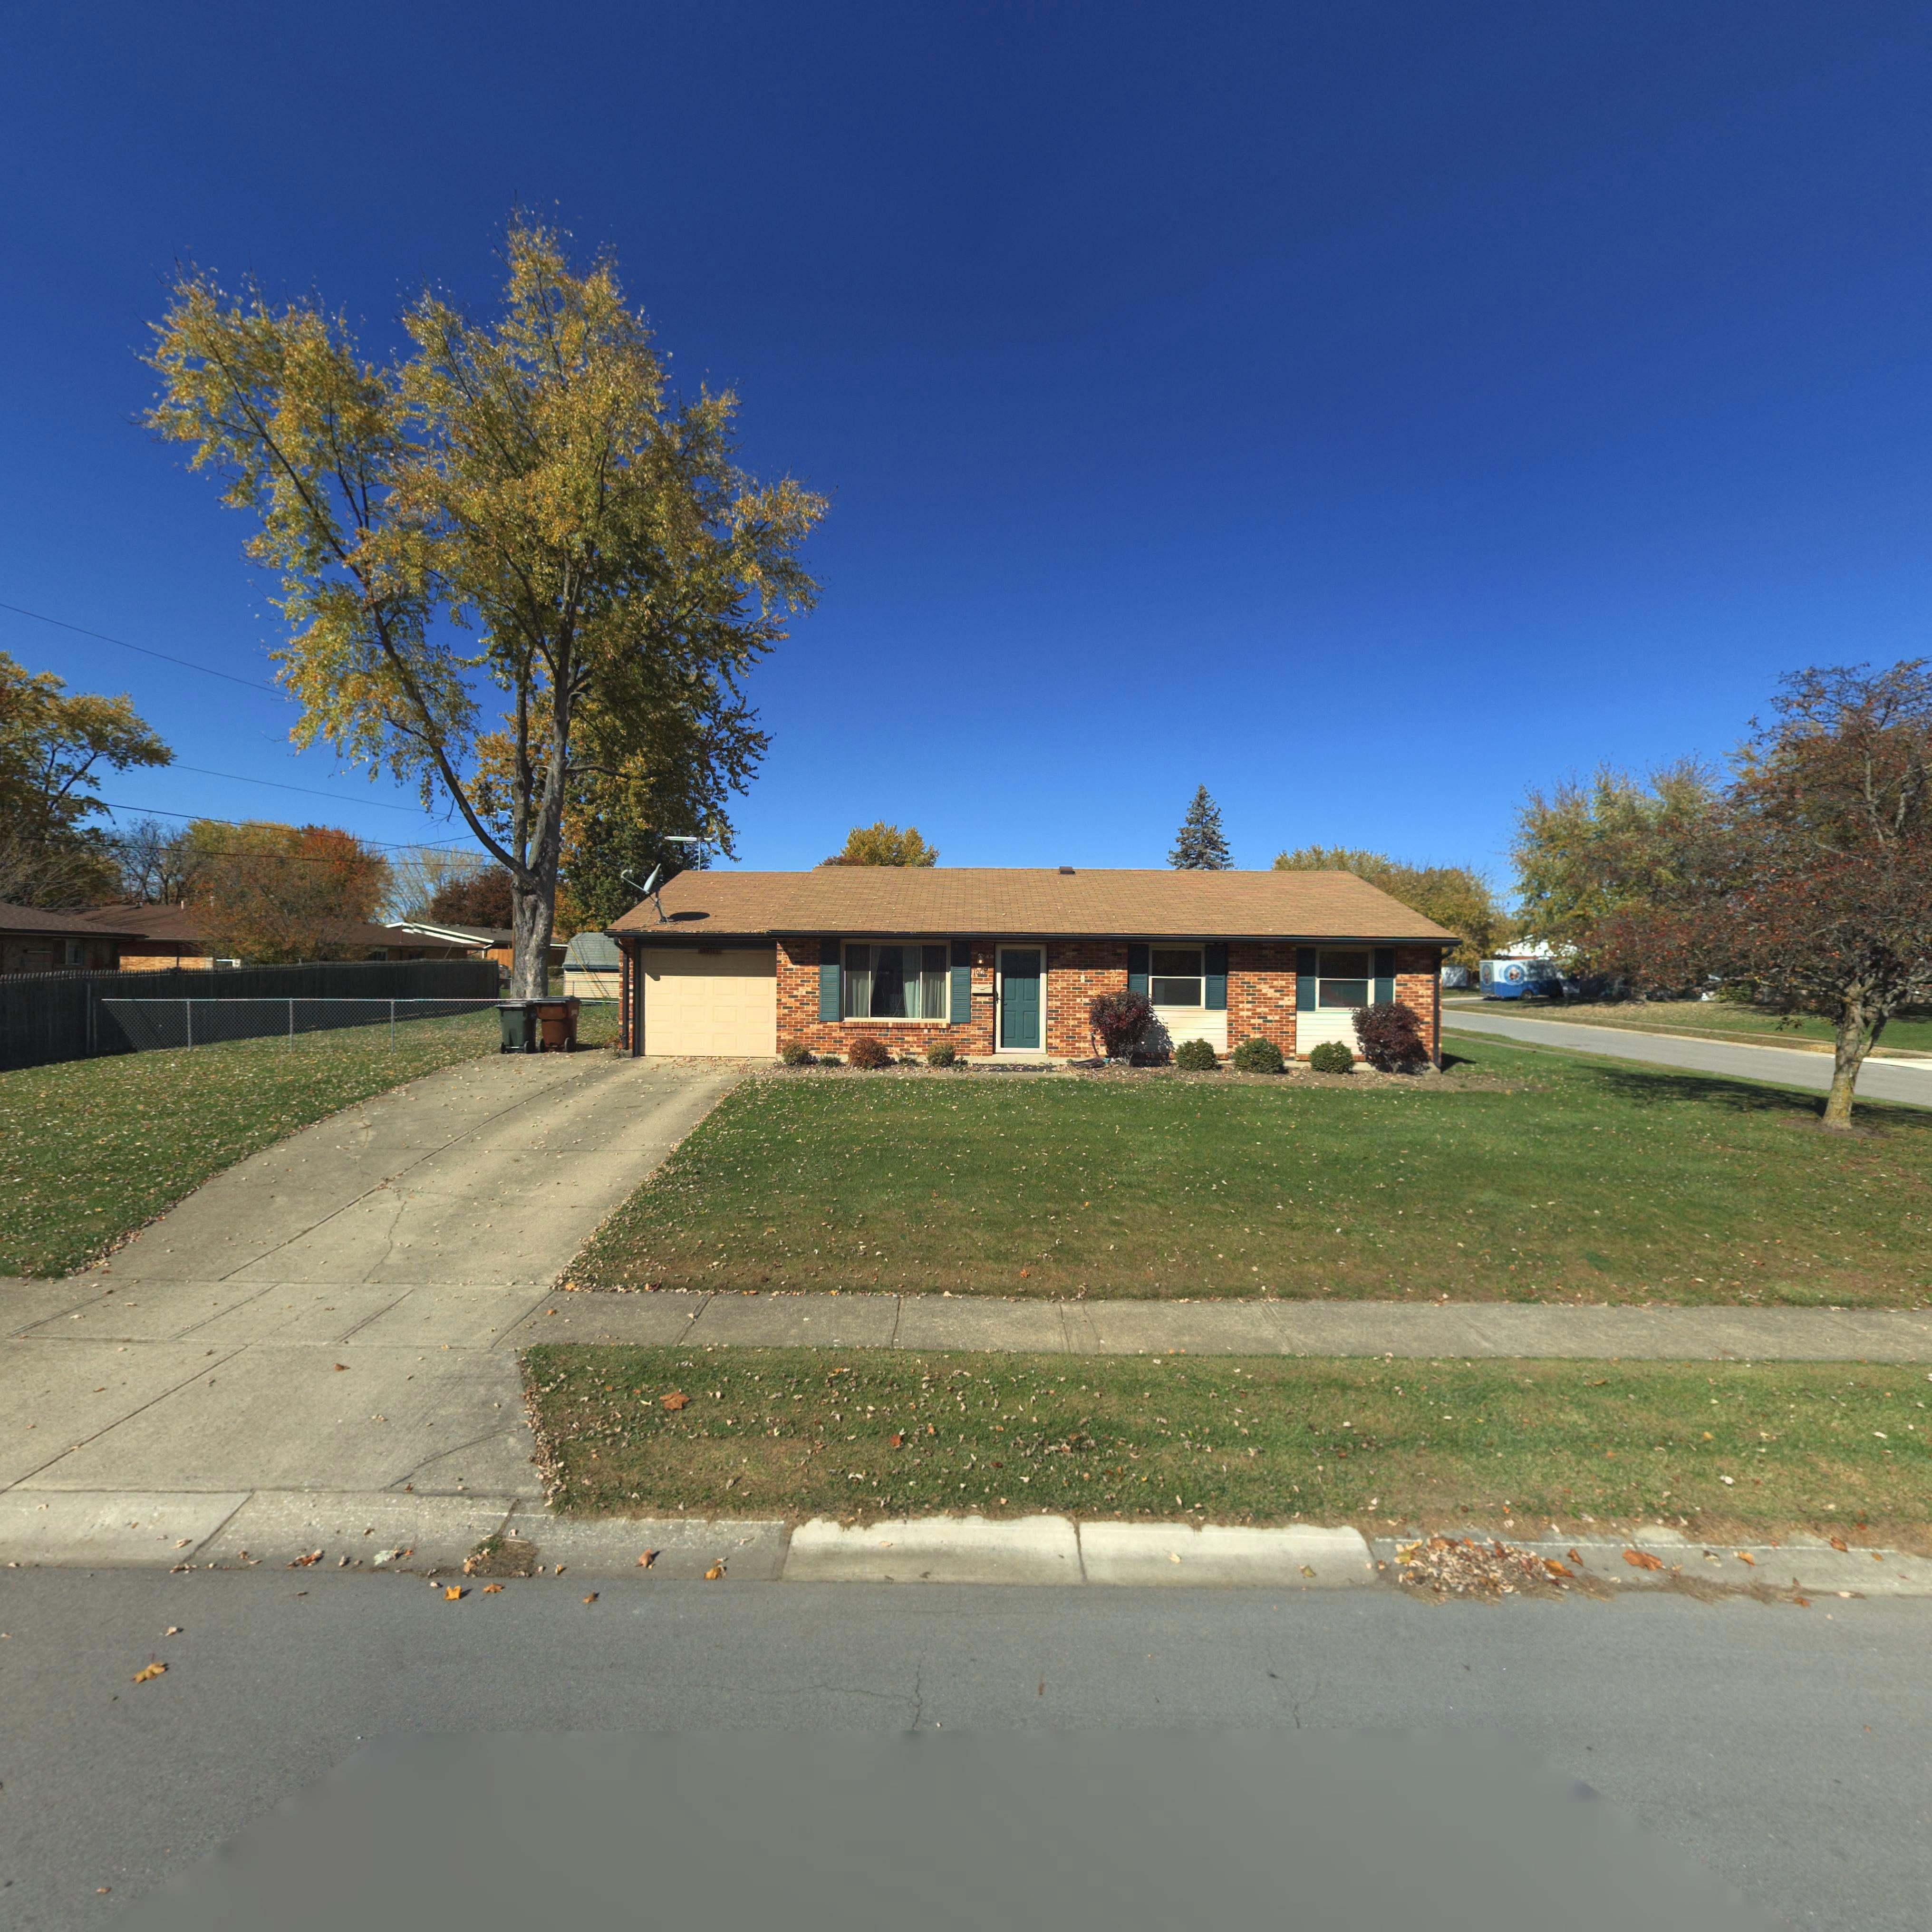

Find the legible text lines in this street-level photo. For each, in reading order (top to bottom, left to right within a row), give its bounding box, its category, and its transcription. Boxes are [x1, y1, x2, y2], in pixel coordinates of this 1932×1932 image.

[973, 969, 984, 975] StreetNumber: 100